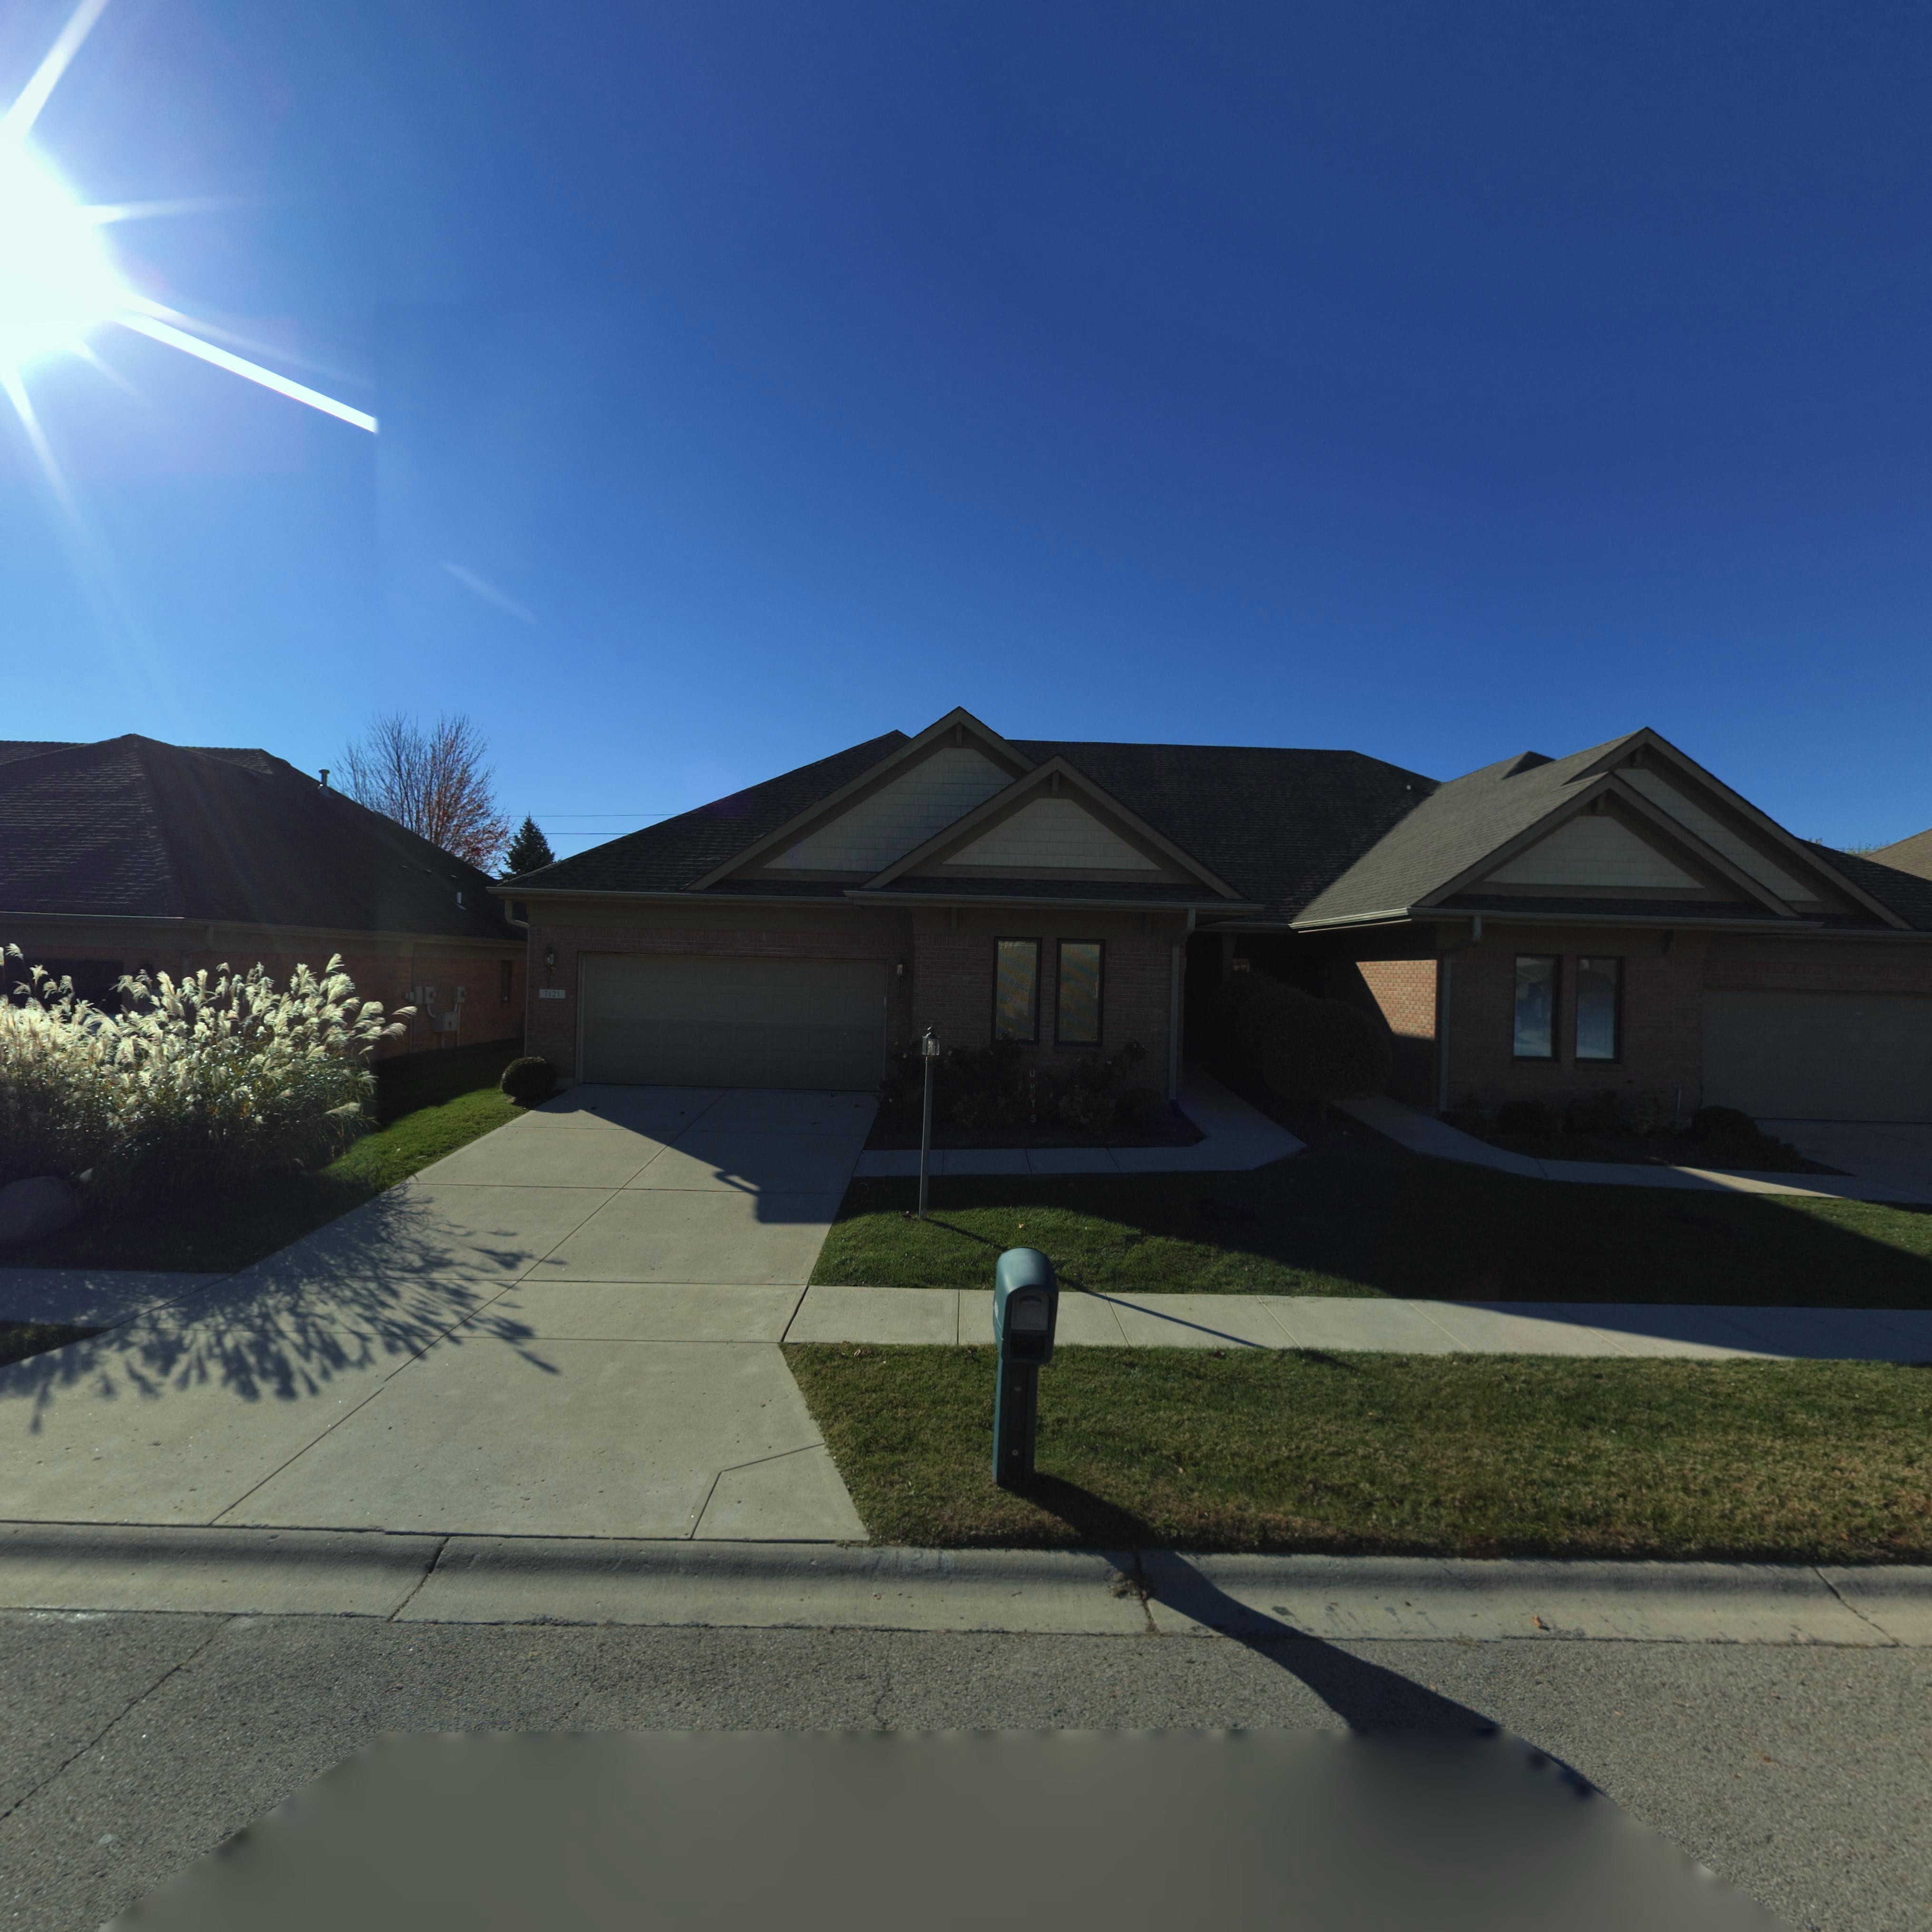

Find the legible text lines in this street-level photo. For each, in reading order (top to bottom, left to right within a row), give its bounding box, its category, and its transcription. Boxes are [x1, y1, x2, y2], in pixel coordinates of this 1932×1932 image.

[544, 990, 560, 997] StreetNumber: 7121